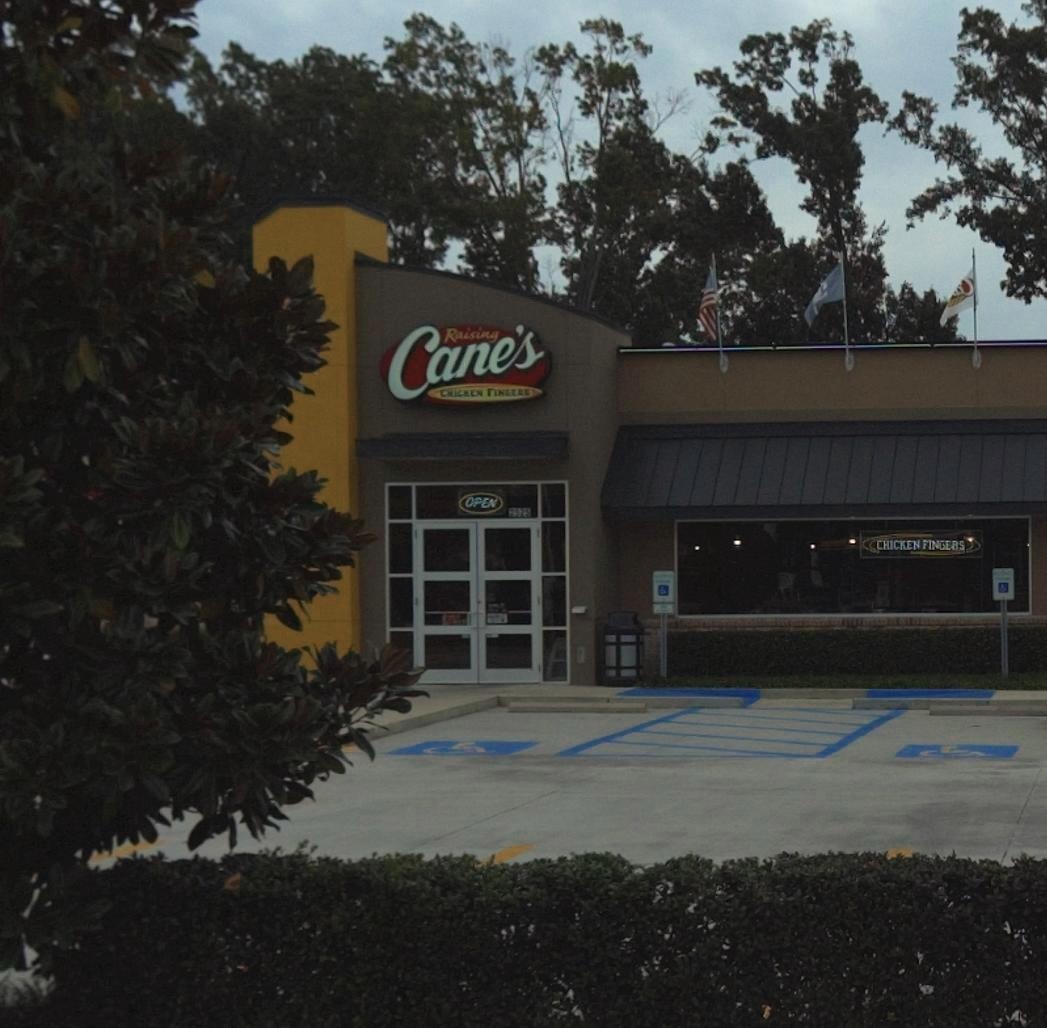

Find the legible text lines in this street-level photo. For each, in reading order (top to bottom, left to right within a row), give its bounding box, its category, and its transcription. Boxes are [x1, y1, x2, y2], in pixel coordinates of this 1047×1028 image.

[441, 327, 502, 344] BusinessName: Raising
[383, 323, 547, 406] BusinessName: Cane's
[439, 388, 532, 397] BusinessName: Chicken Fingers
[465, 497, 499, 509] None: OPEN
[509, 508, 531, 517] StreetNumber: 2520
[876, 538, 965, 551] None: CHICKEN FINGERS